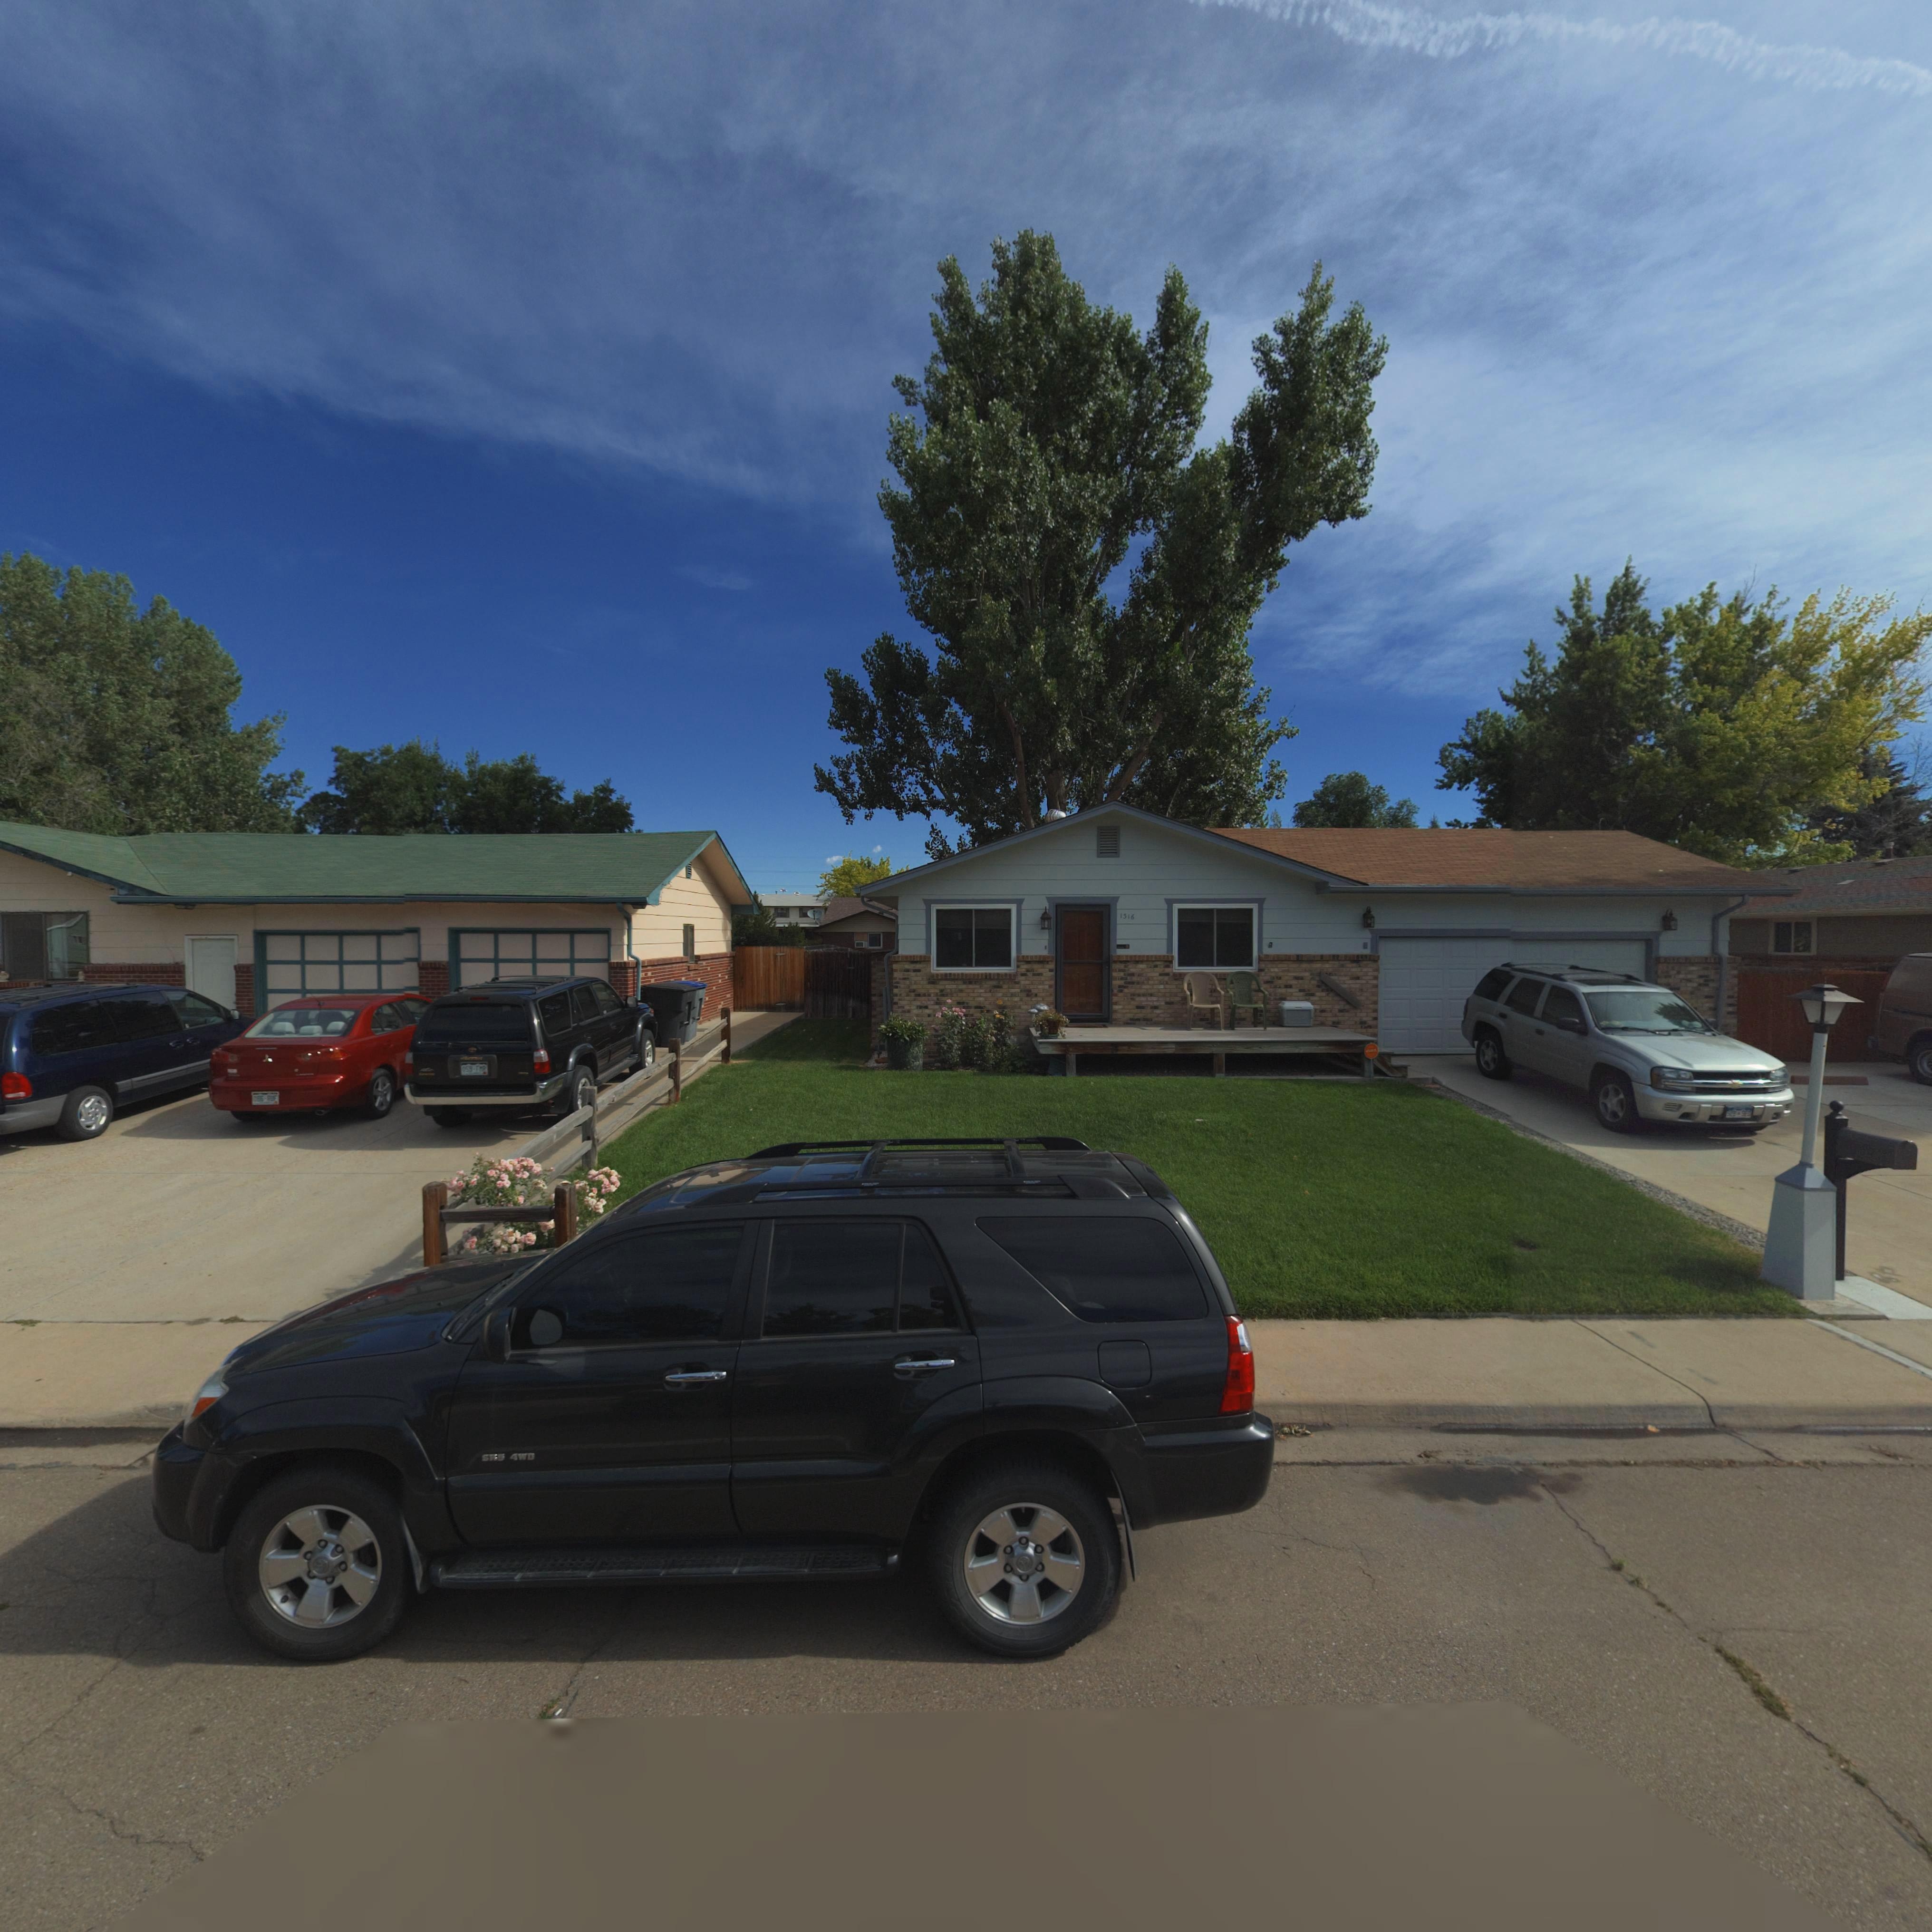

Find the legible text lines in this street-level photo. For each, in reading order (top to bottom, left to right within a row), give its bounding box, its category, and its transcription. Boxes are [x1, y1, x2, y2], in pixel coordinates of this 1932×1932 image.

[1120, 911, 1135, 920] StreetNumber: 1316